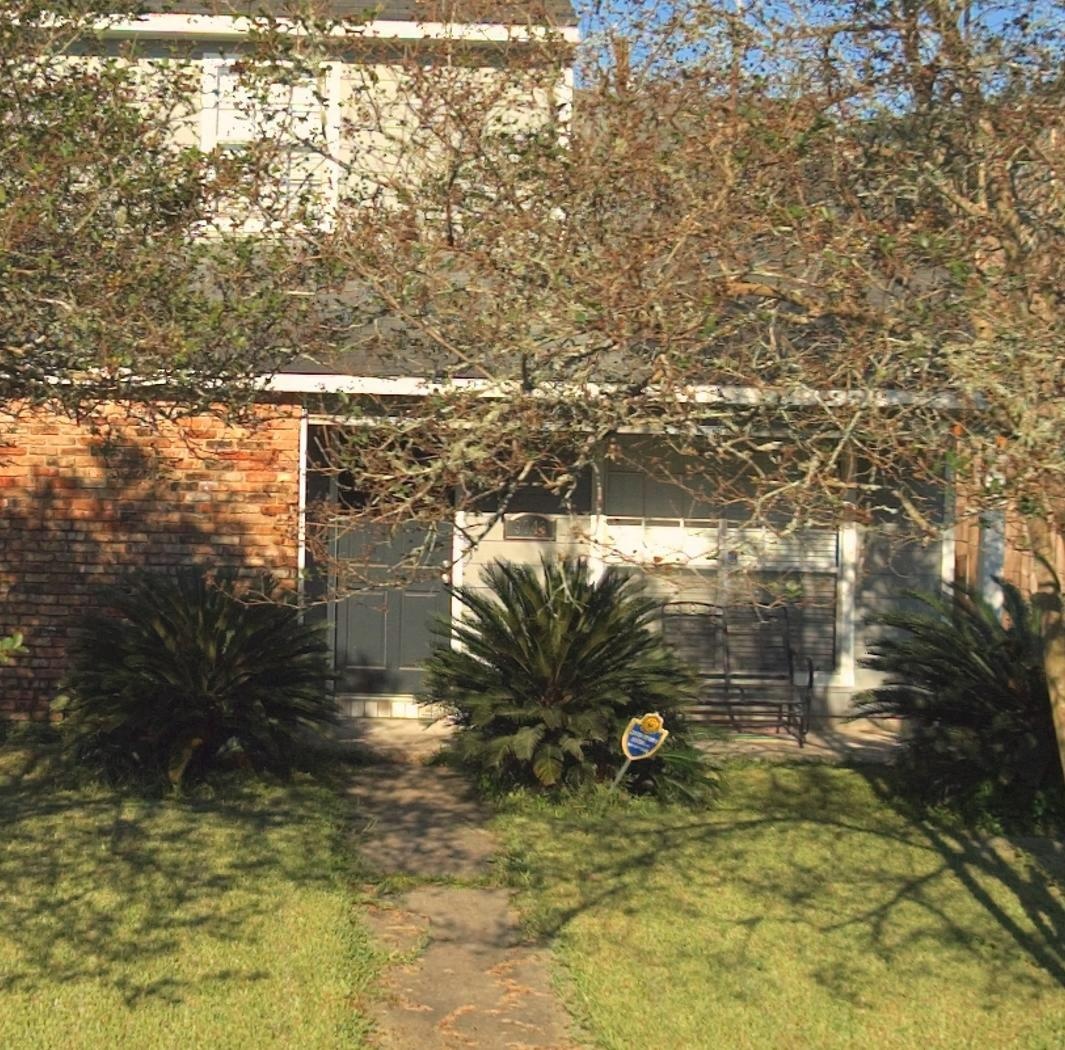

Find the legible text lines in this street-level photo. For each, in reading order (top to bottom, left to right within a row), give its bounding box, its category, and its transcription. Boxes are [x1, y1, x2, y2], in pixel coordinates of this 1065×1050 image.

[514, 520, 547, 536] StreetNumber: 9043